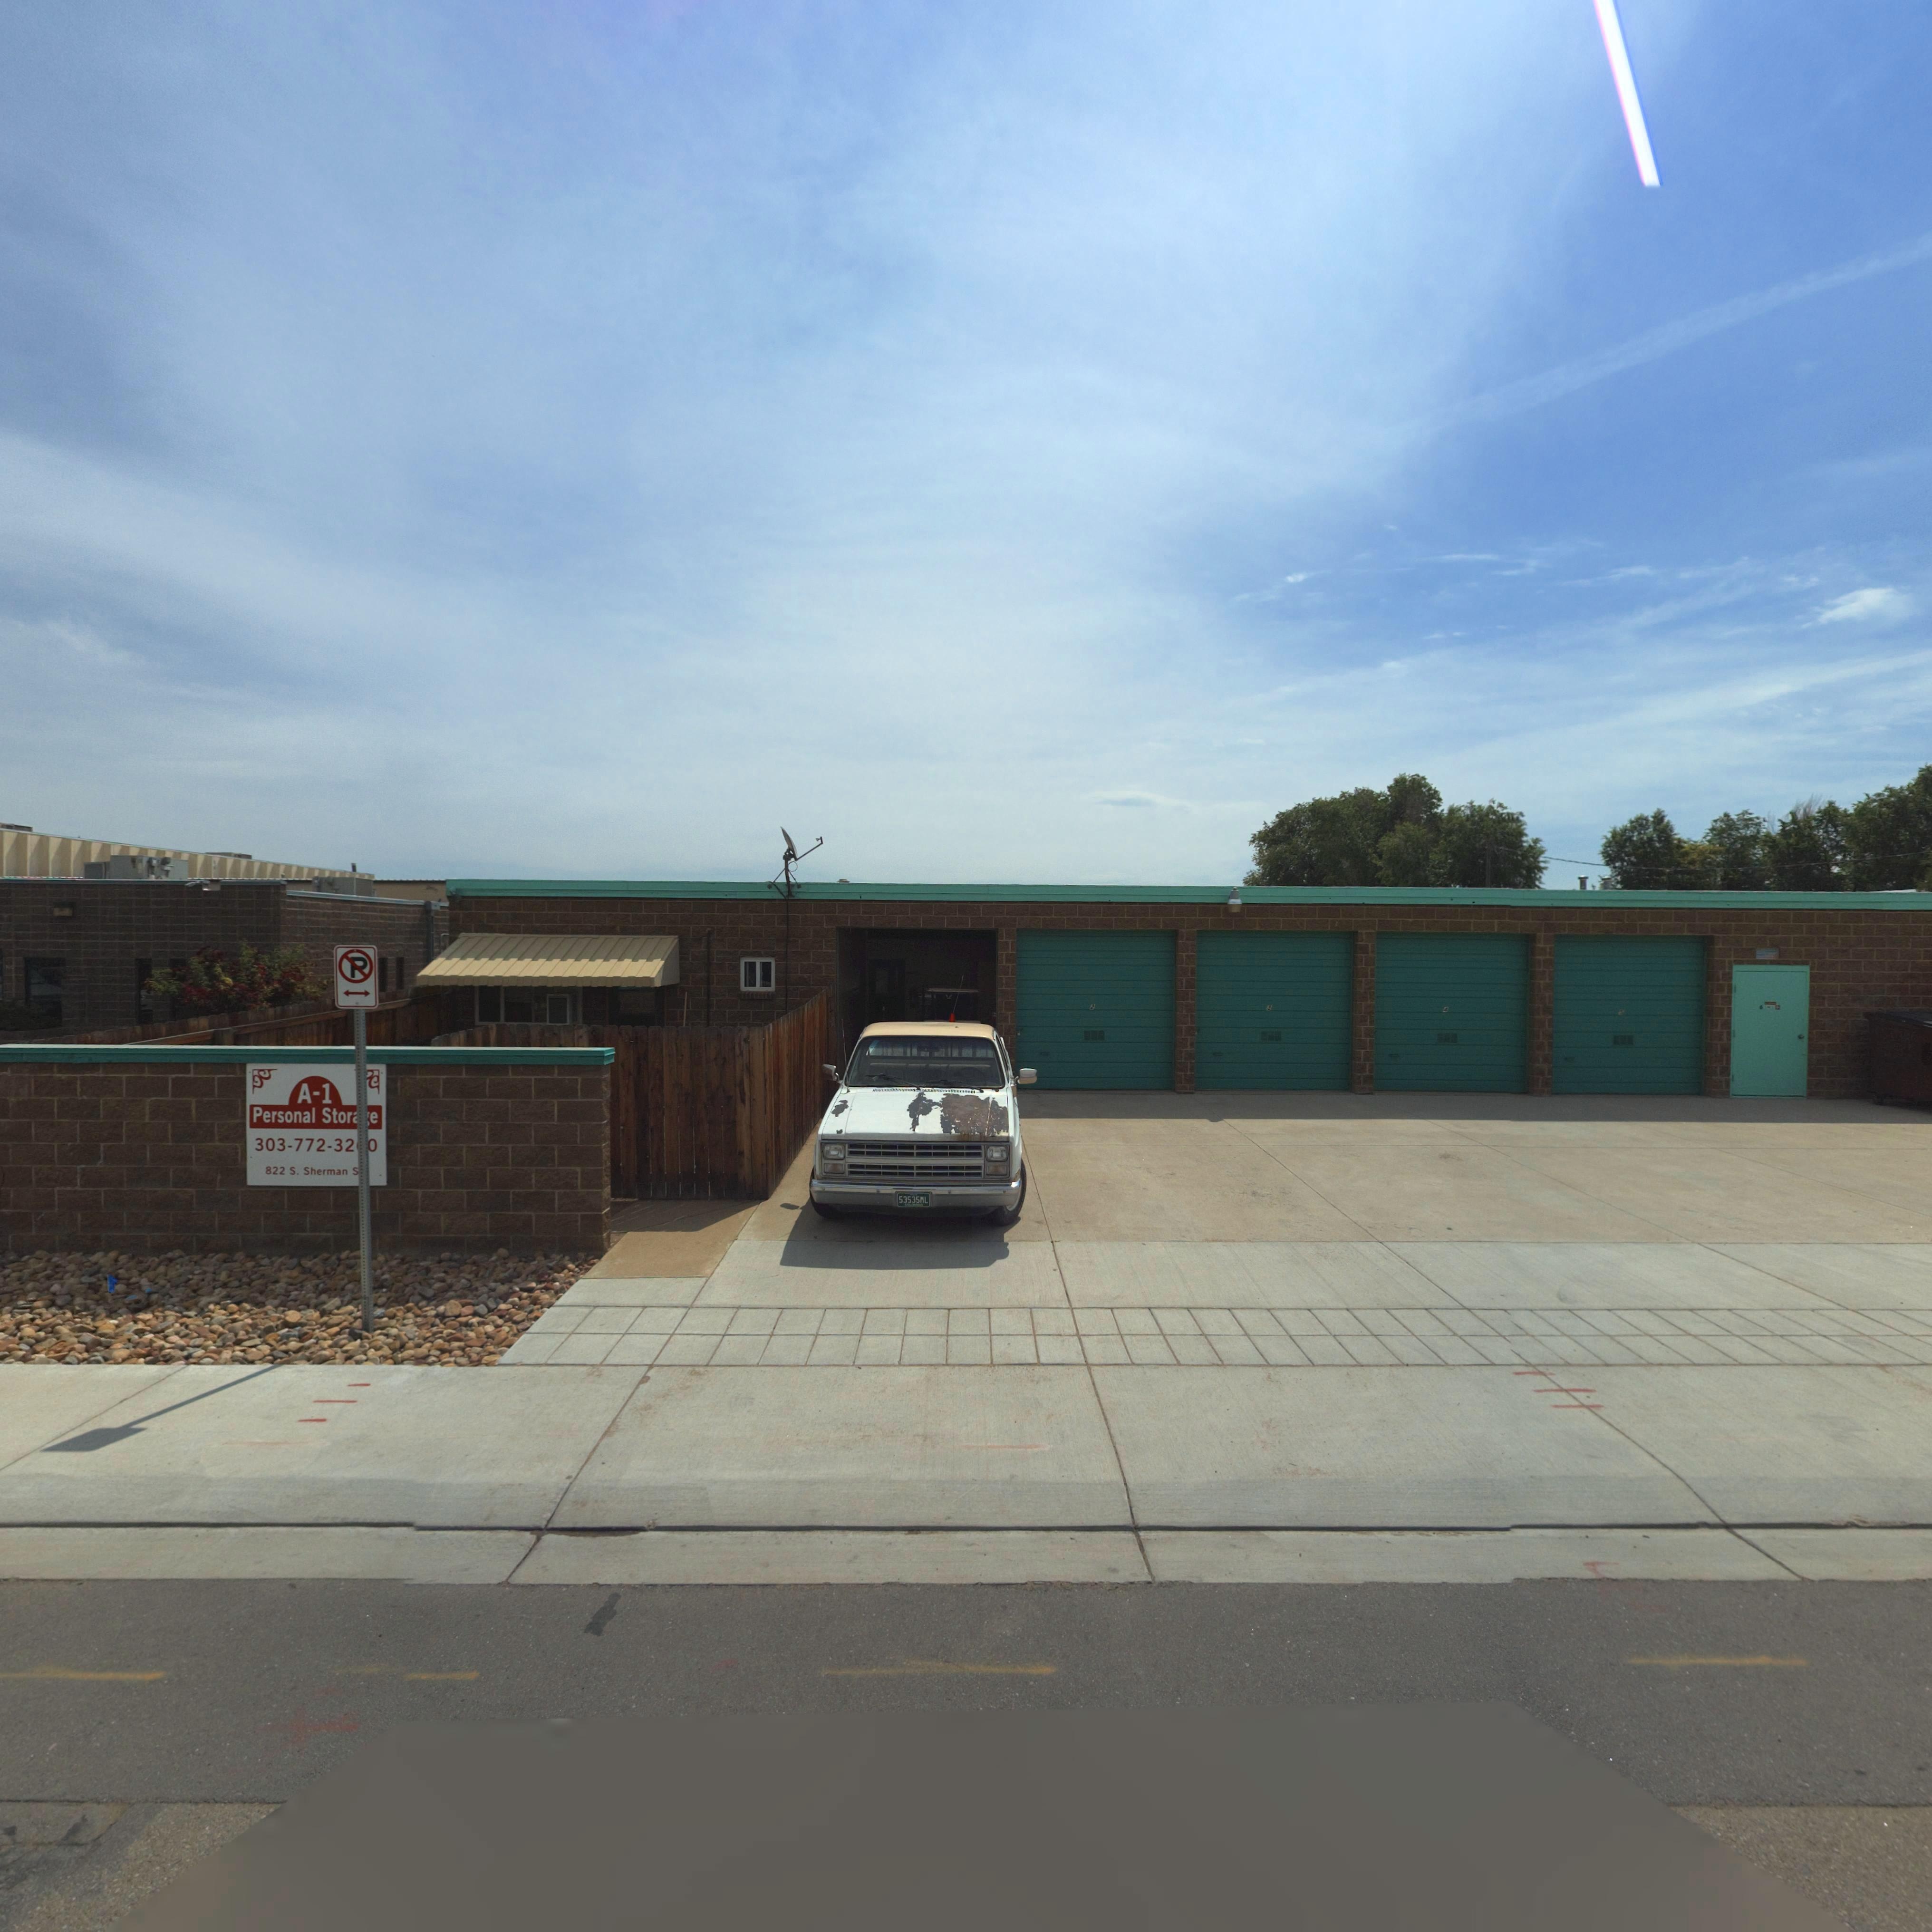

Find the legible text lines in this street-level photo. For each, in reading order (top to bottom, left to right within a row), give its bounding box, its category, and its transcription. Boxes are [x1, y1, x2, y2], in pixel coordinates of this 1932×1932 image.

[295, 1082, 332, 1104] BusinessName: A-1
[252, 1105, 379, 1128] BusinessName: Personal Stor**e
[264, 1165, 285, 1175] StreetNumber: 822
[289, 1165, 359, 1175] StreetName: S. Sherman S